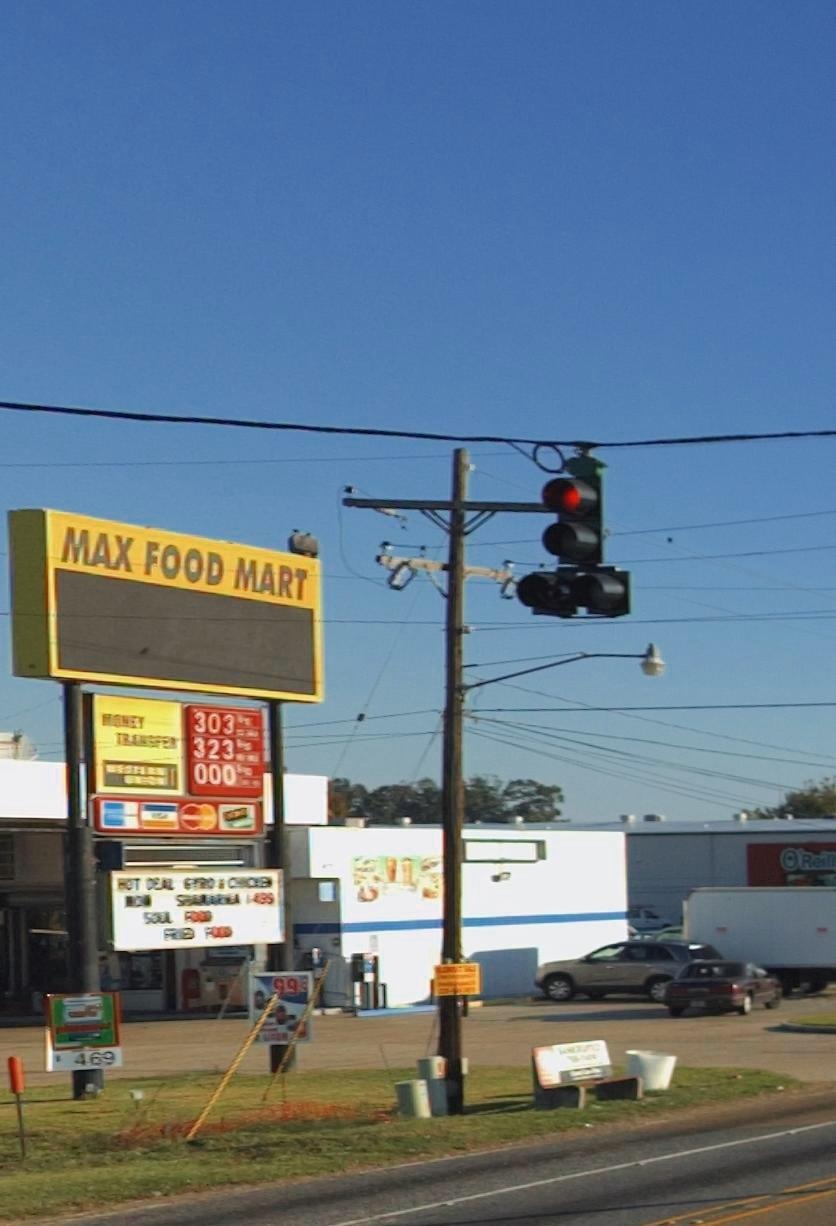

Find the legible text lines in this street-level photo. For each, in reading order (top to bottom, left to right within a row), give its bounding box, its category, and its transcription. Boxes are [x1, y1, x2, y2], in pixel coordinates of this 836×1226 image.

[57, 521, 311, 605] BusinessName: MAX FOOD MART
[192, 708, 237, 737] None: 303
[191, 734, 237, 762] None: 323
[192, 760, 239, 788] None: 000
[777, 845, 835, 873] BusinessName: O'Reill
[122, 874, 178, 893] None: OT DEAL
[257, 889, 277, 908] None: 99
[140, 906, 215, 928] None: SOUL FOOD
[285, 976, 301, 998] None: 9
[71, 1047, 118, 1069] None: 4.69